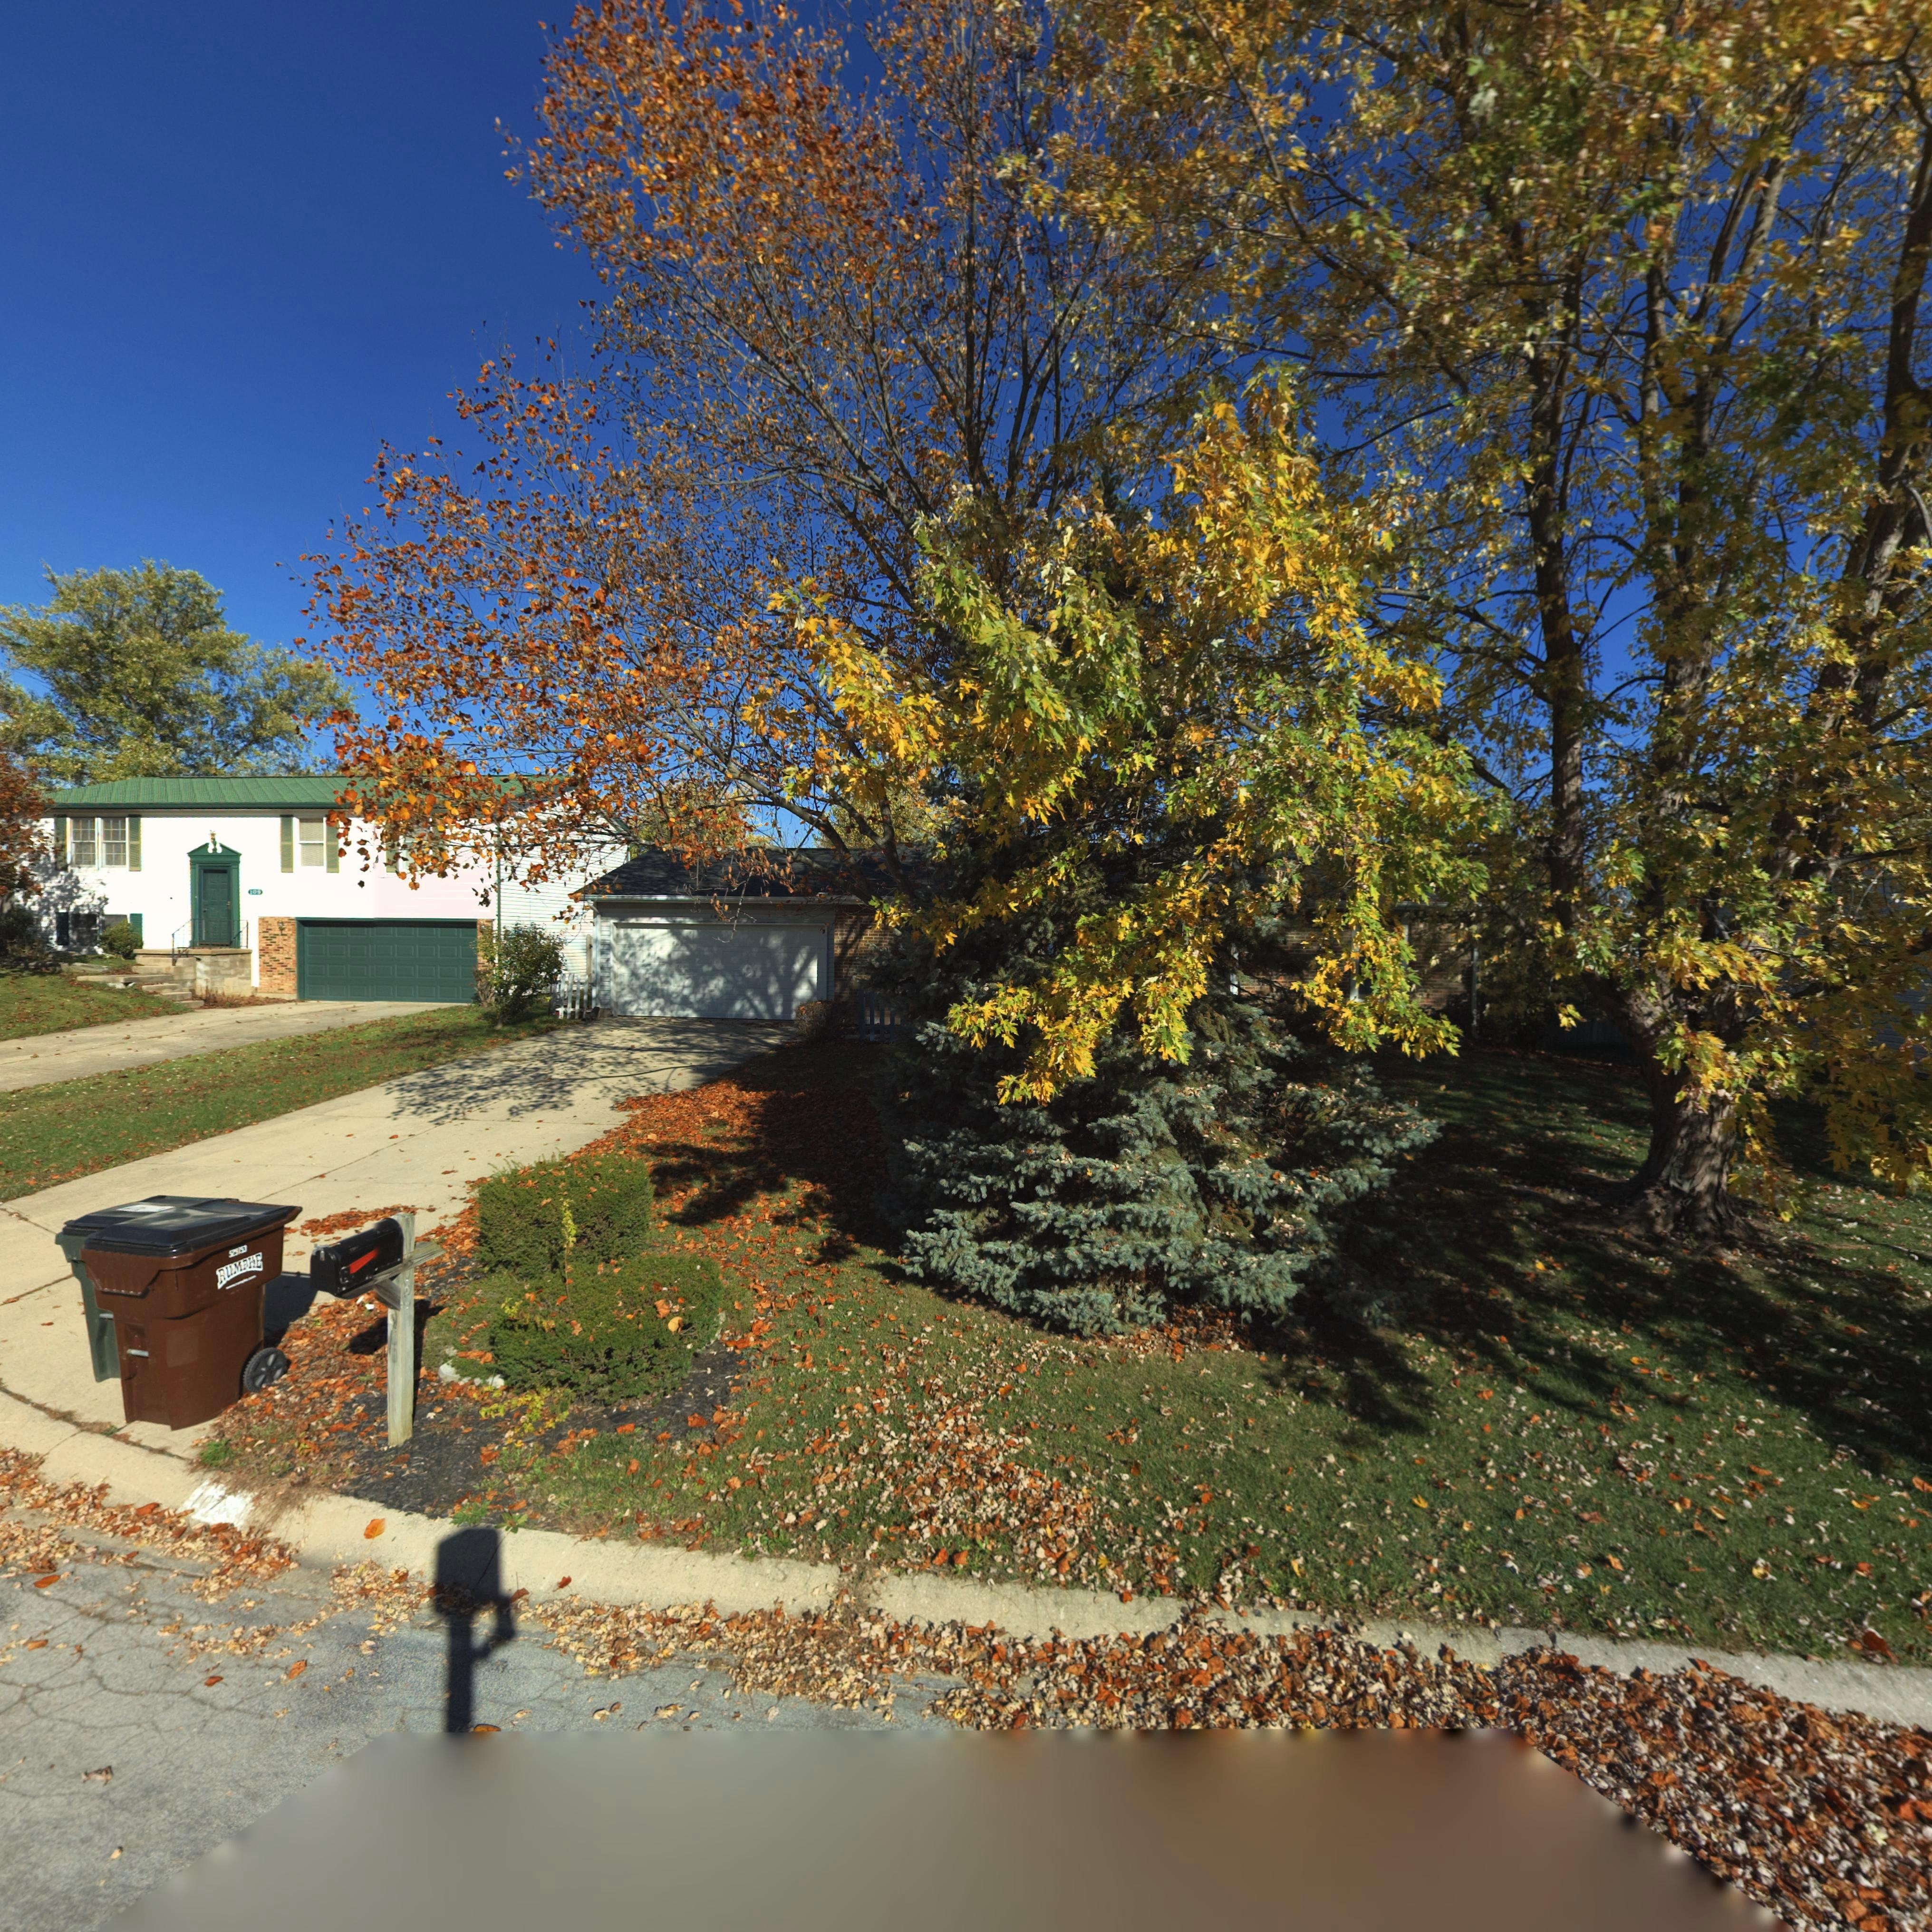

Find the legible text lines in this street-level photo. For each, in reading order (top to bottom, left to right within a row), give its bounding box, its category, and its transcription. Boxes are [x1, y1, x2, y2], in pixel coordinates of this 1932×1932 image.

[250, 889, 262, 895] StreetNumber: 109
[709, 914, 718, 919] StreetNumber: 10